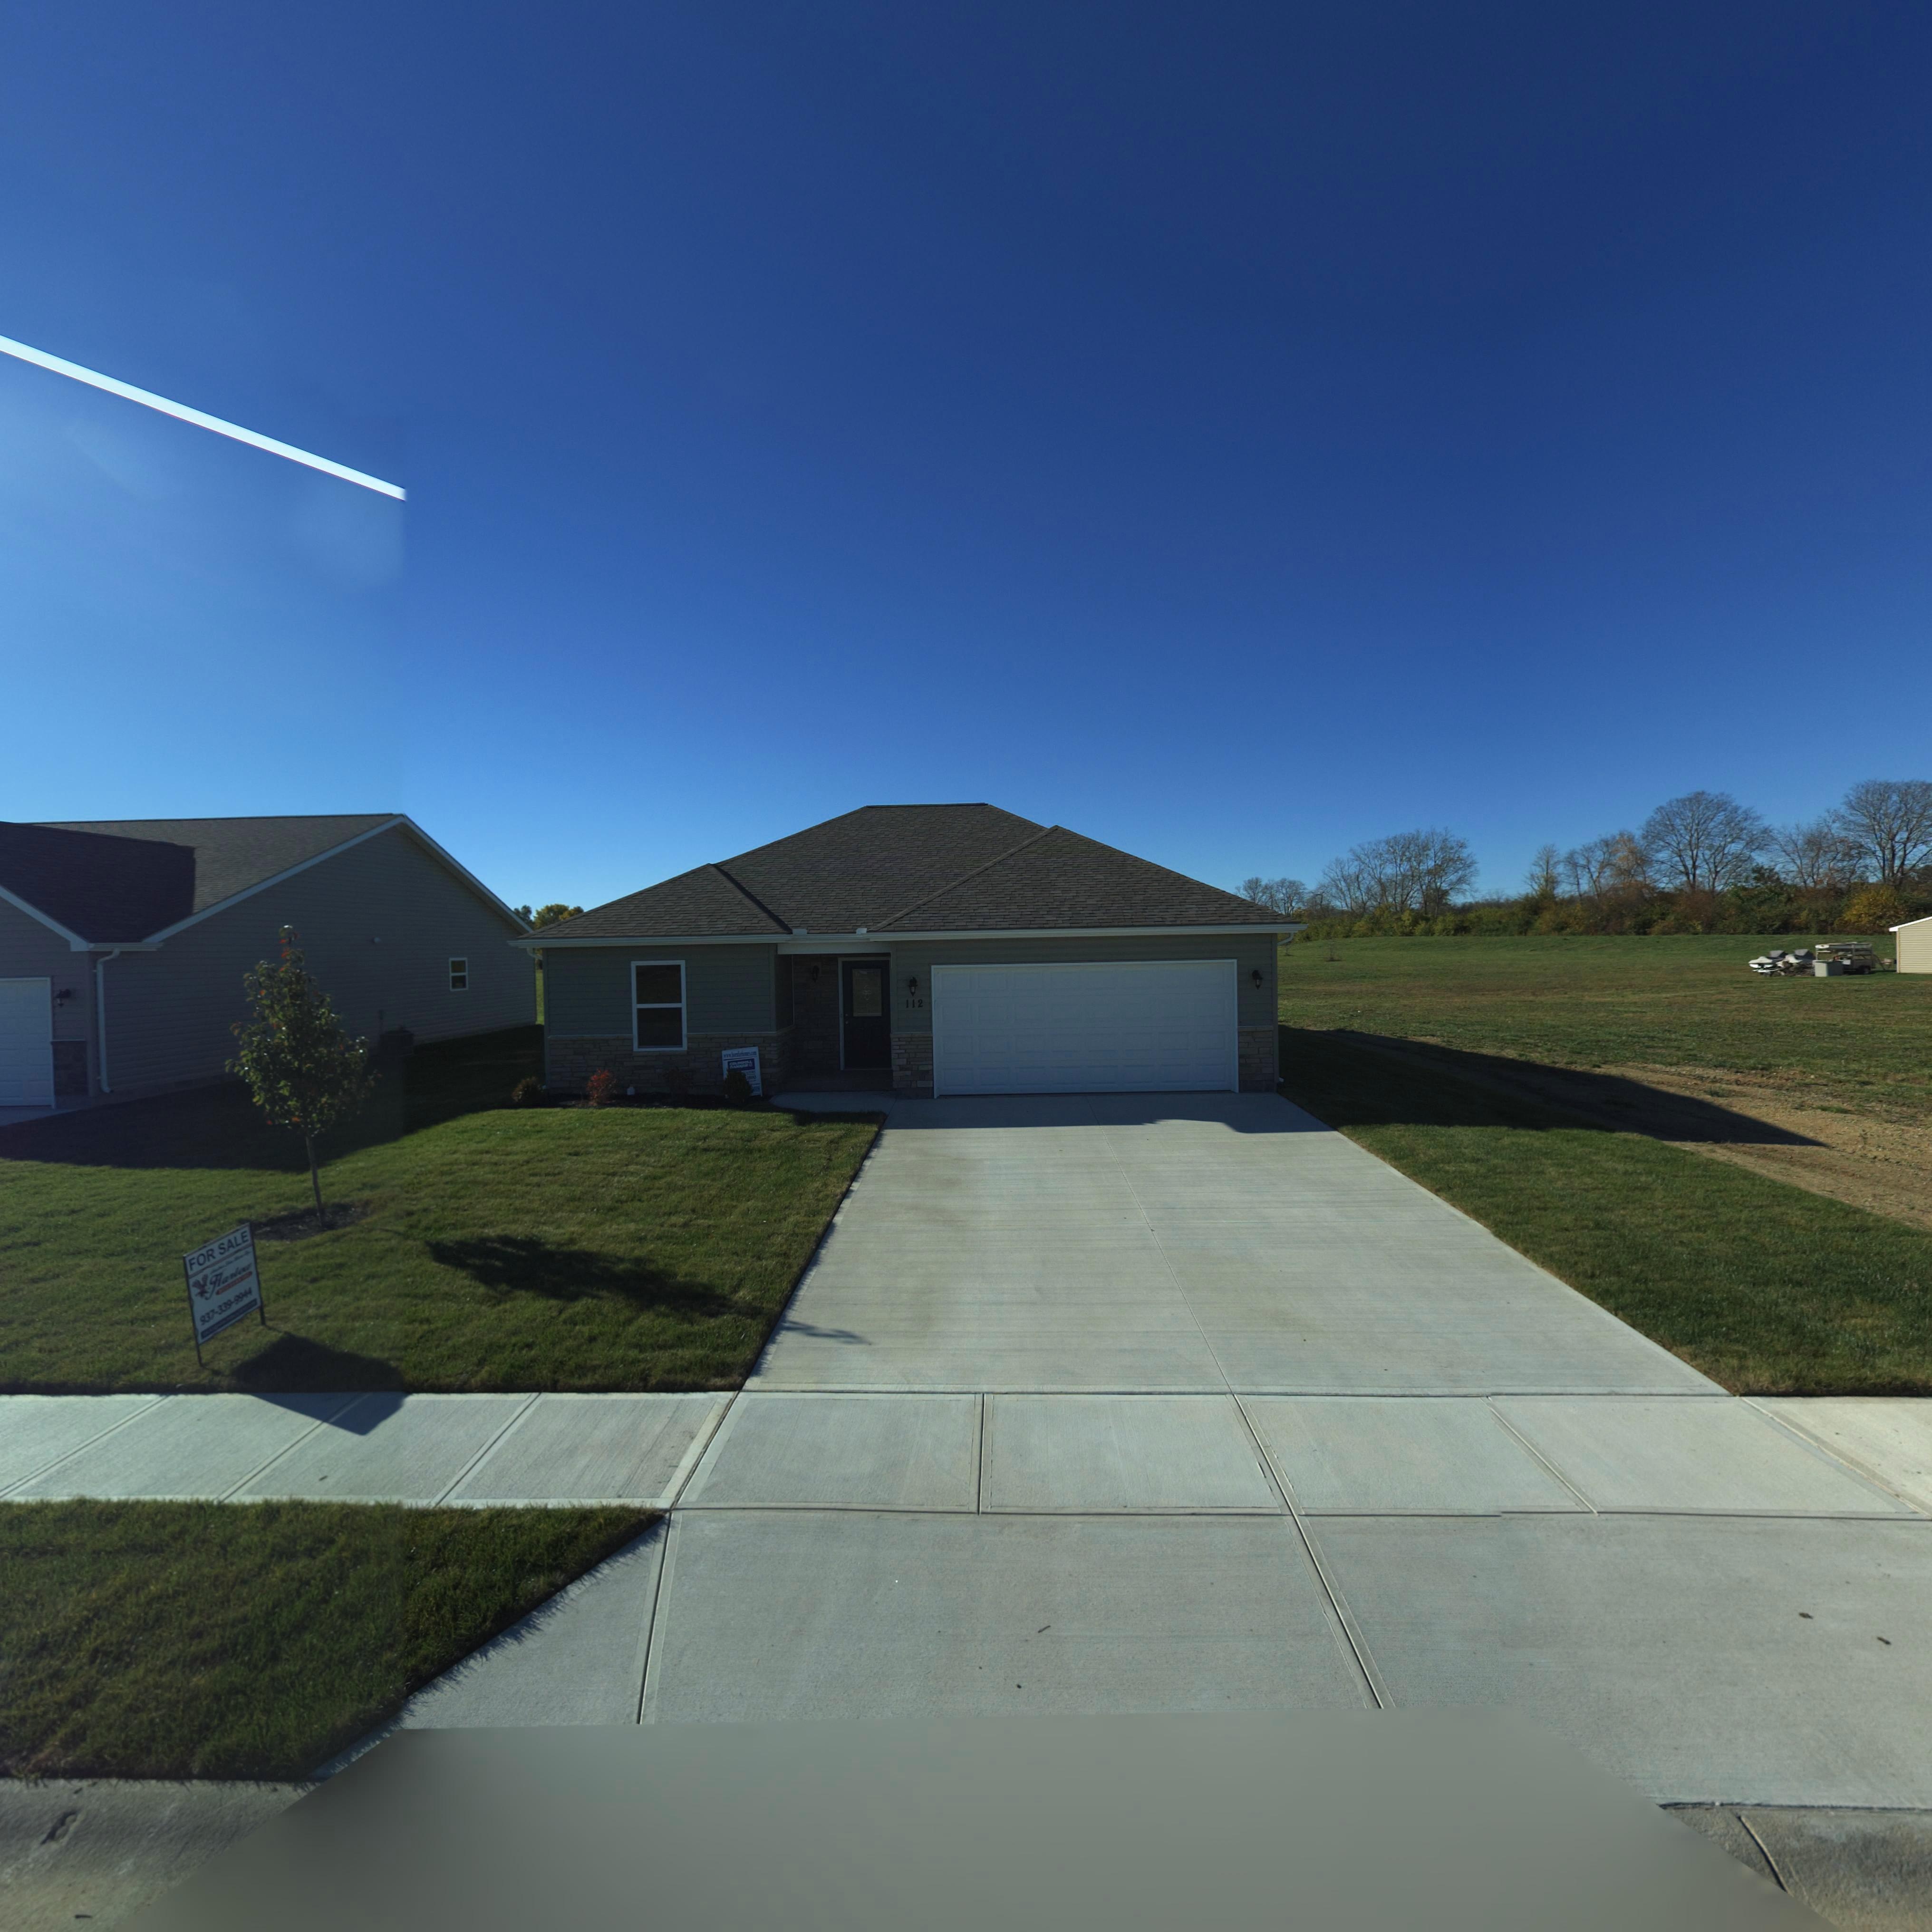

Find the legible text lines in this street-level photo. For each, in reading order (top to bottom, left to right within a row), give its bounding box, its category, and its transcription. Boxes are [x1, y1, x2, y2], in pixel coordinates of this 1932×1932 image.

[906, 998, 923, 1008] StreetNumber: 112